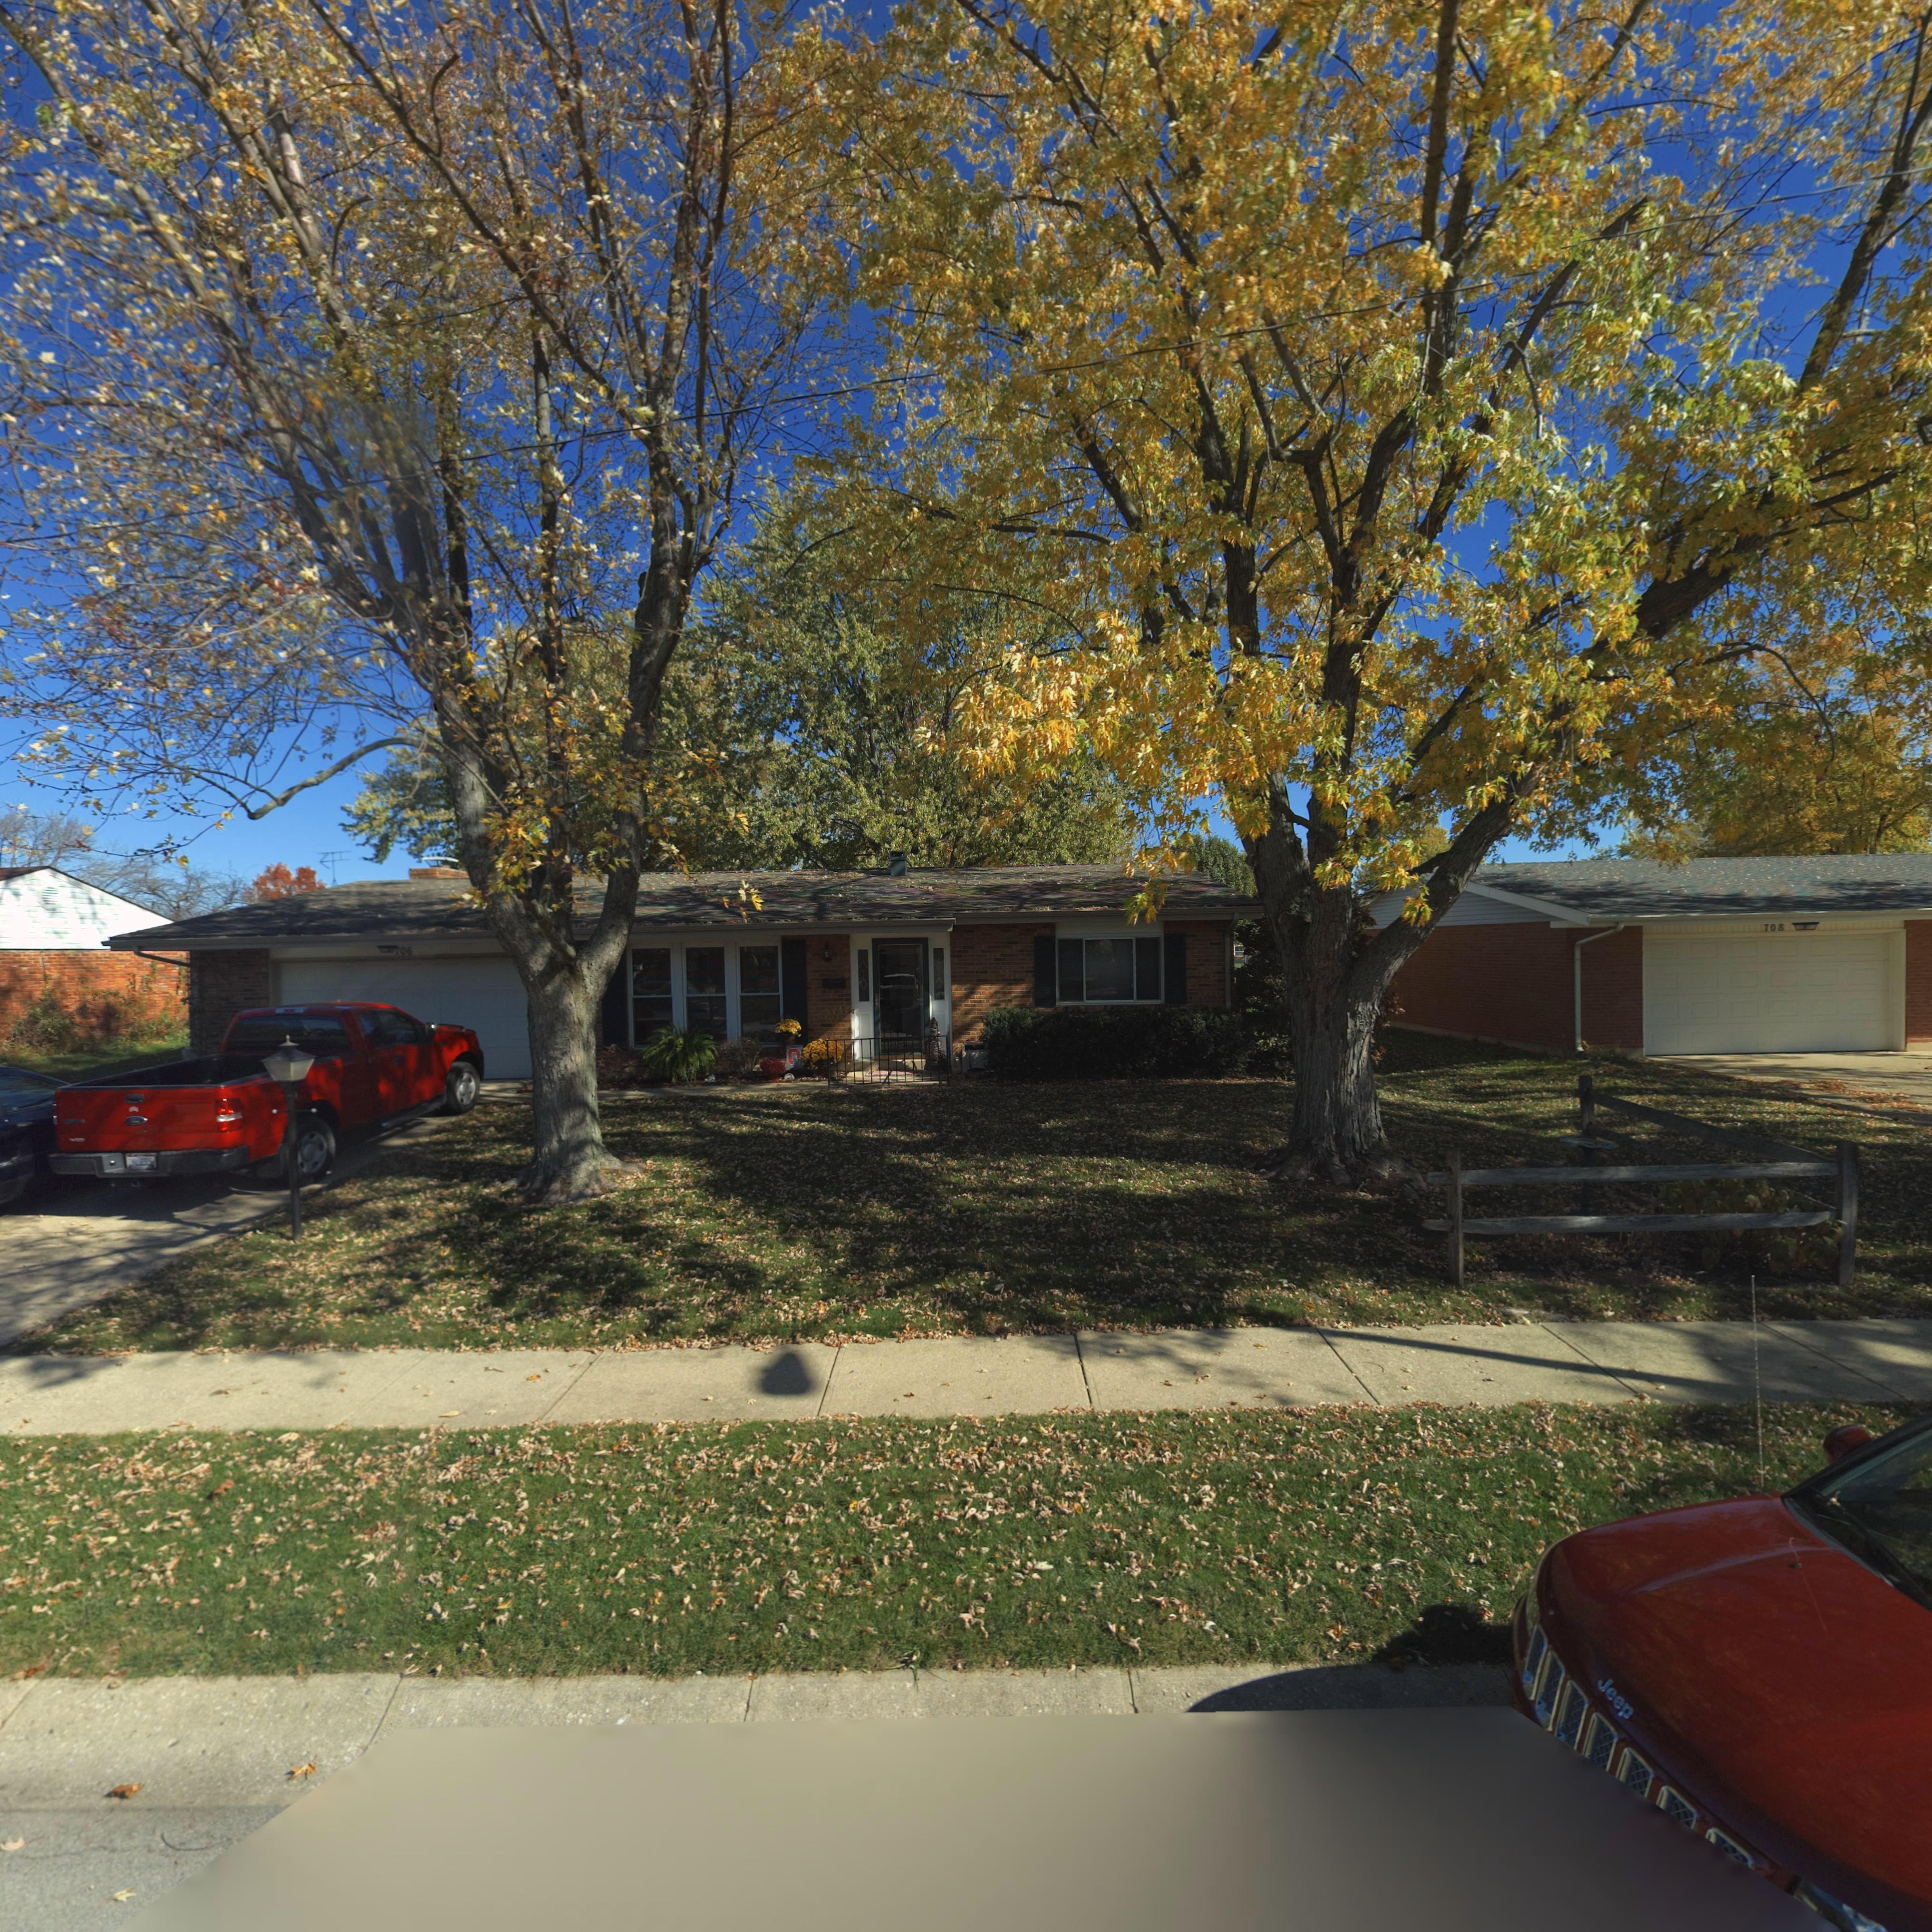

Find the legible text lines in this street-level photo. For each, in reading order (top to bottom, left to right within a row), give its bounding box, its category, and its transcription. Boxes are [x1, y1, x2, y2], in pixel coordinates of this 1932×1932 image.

[1763, 923, 1785, 932] StreetNumber: 708
[394, 946, 413, 956] StreetNumber: 706